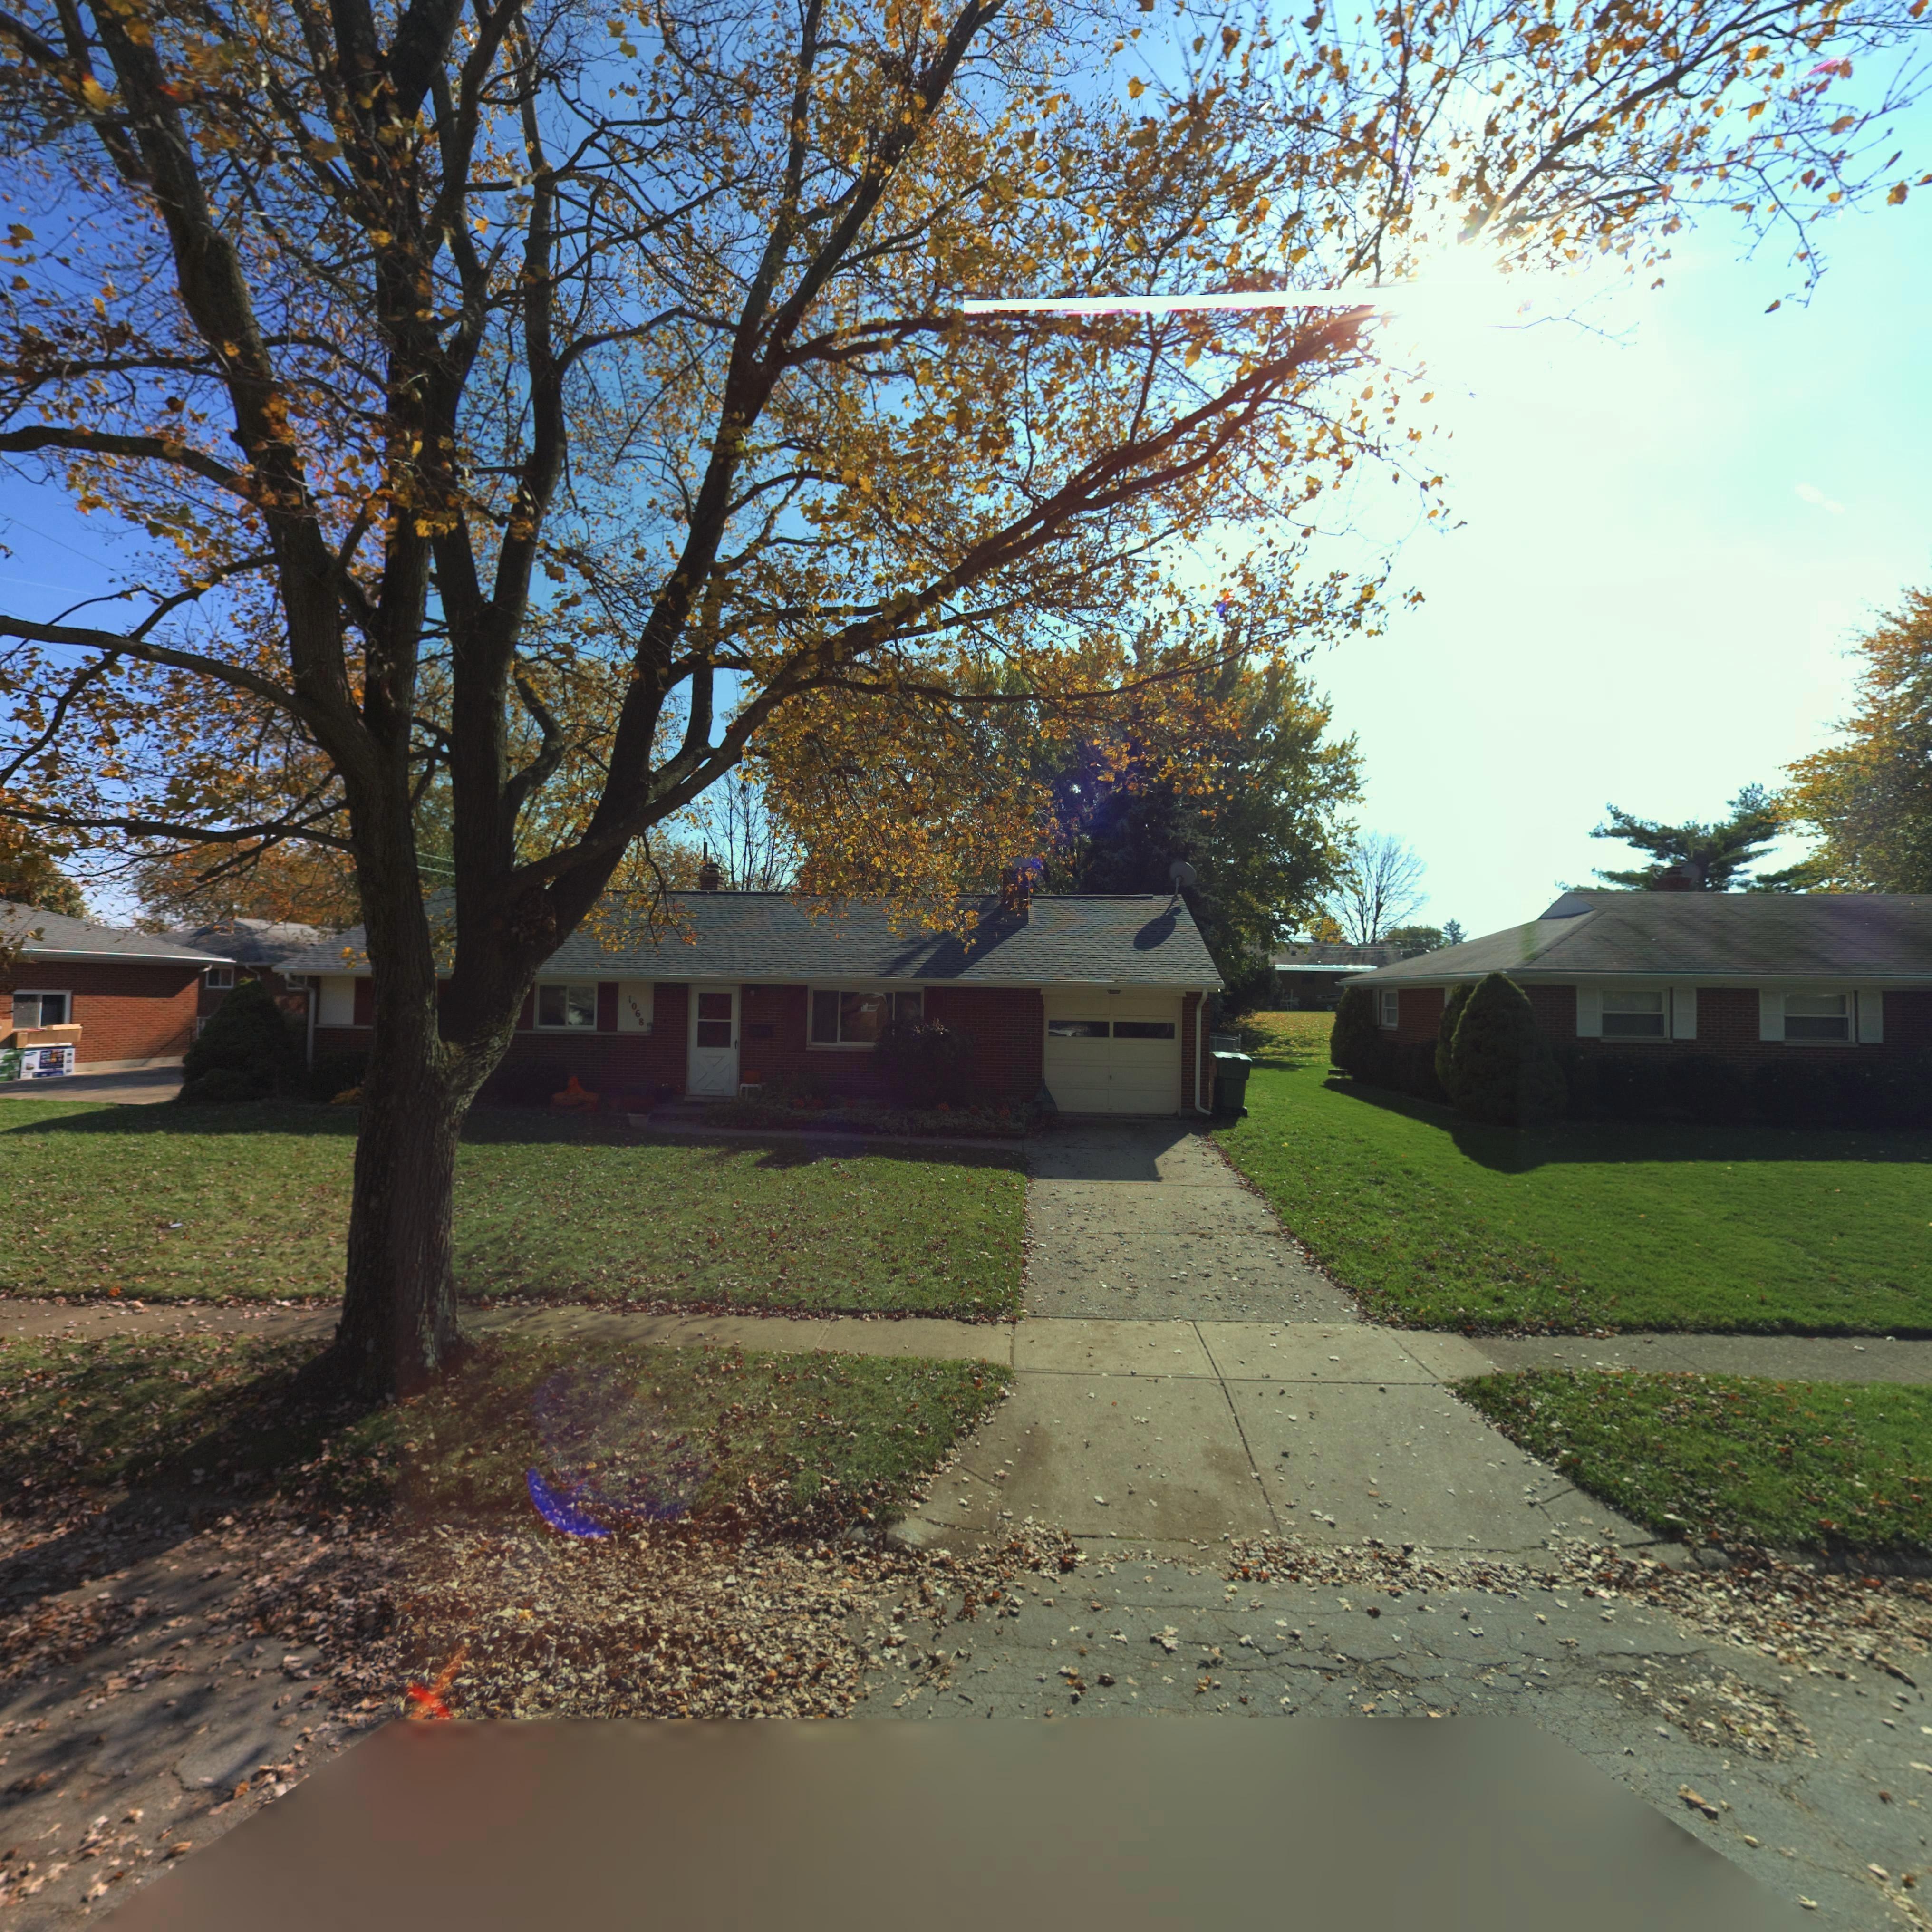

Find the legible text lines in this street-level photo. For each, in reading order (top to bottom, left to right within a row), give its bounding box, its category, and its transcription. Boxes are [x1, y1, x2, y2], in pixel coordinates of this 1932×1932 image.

[628, 995, 645, 1026] StreetNumber: 1068